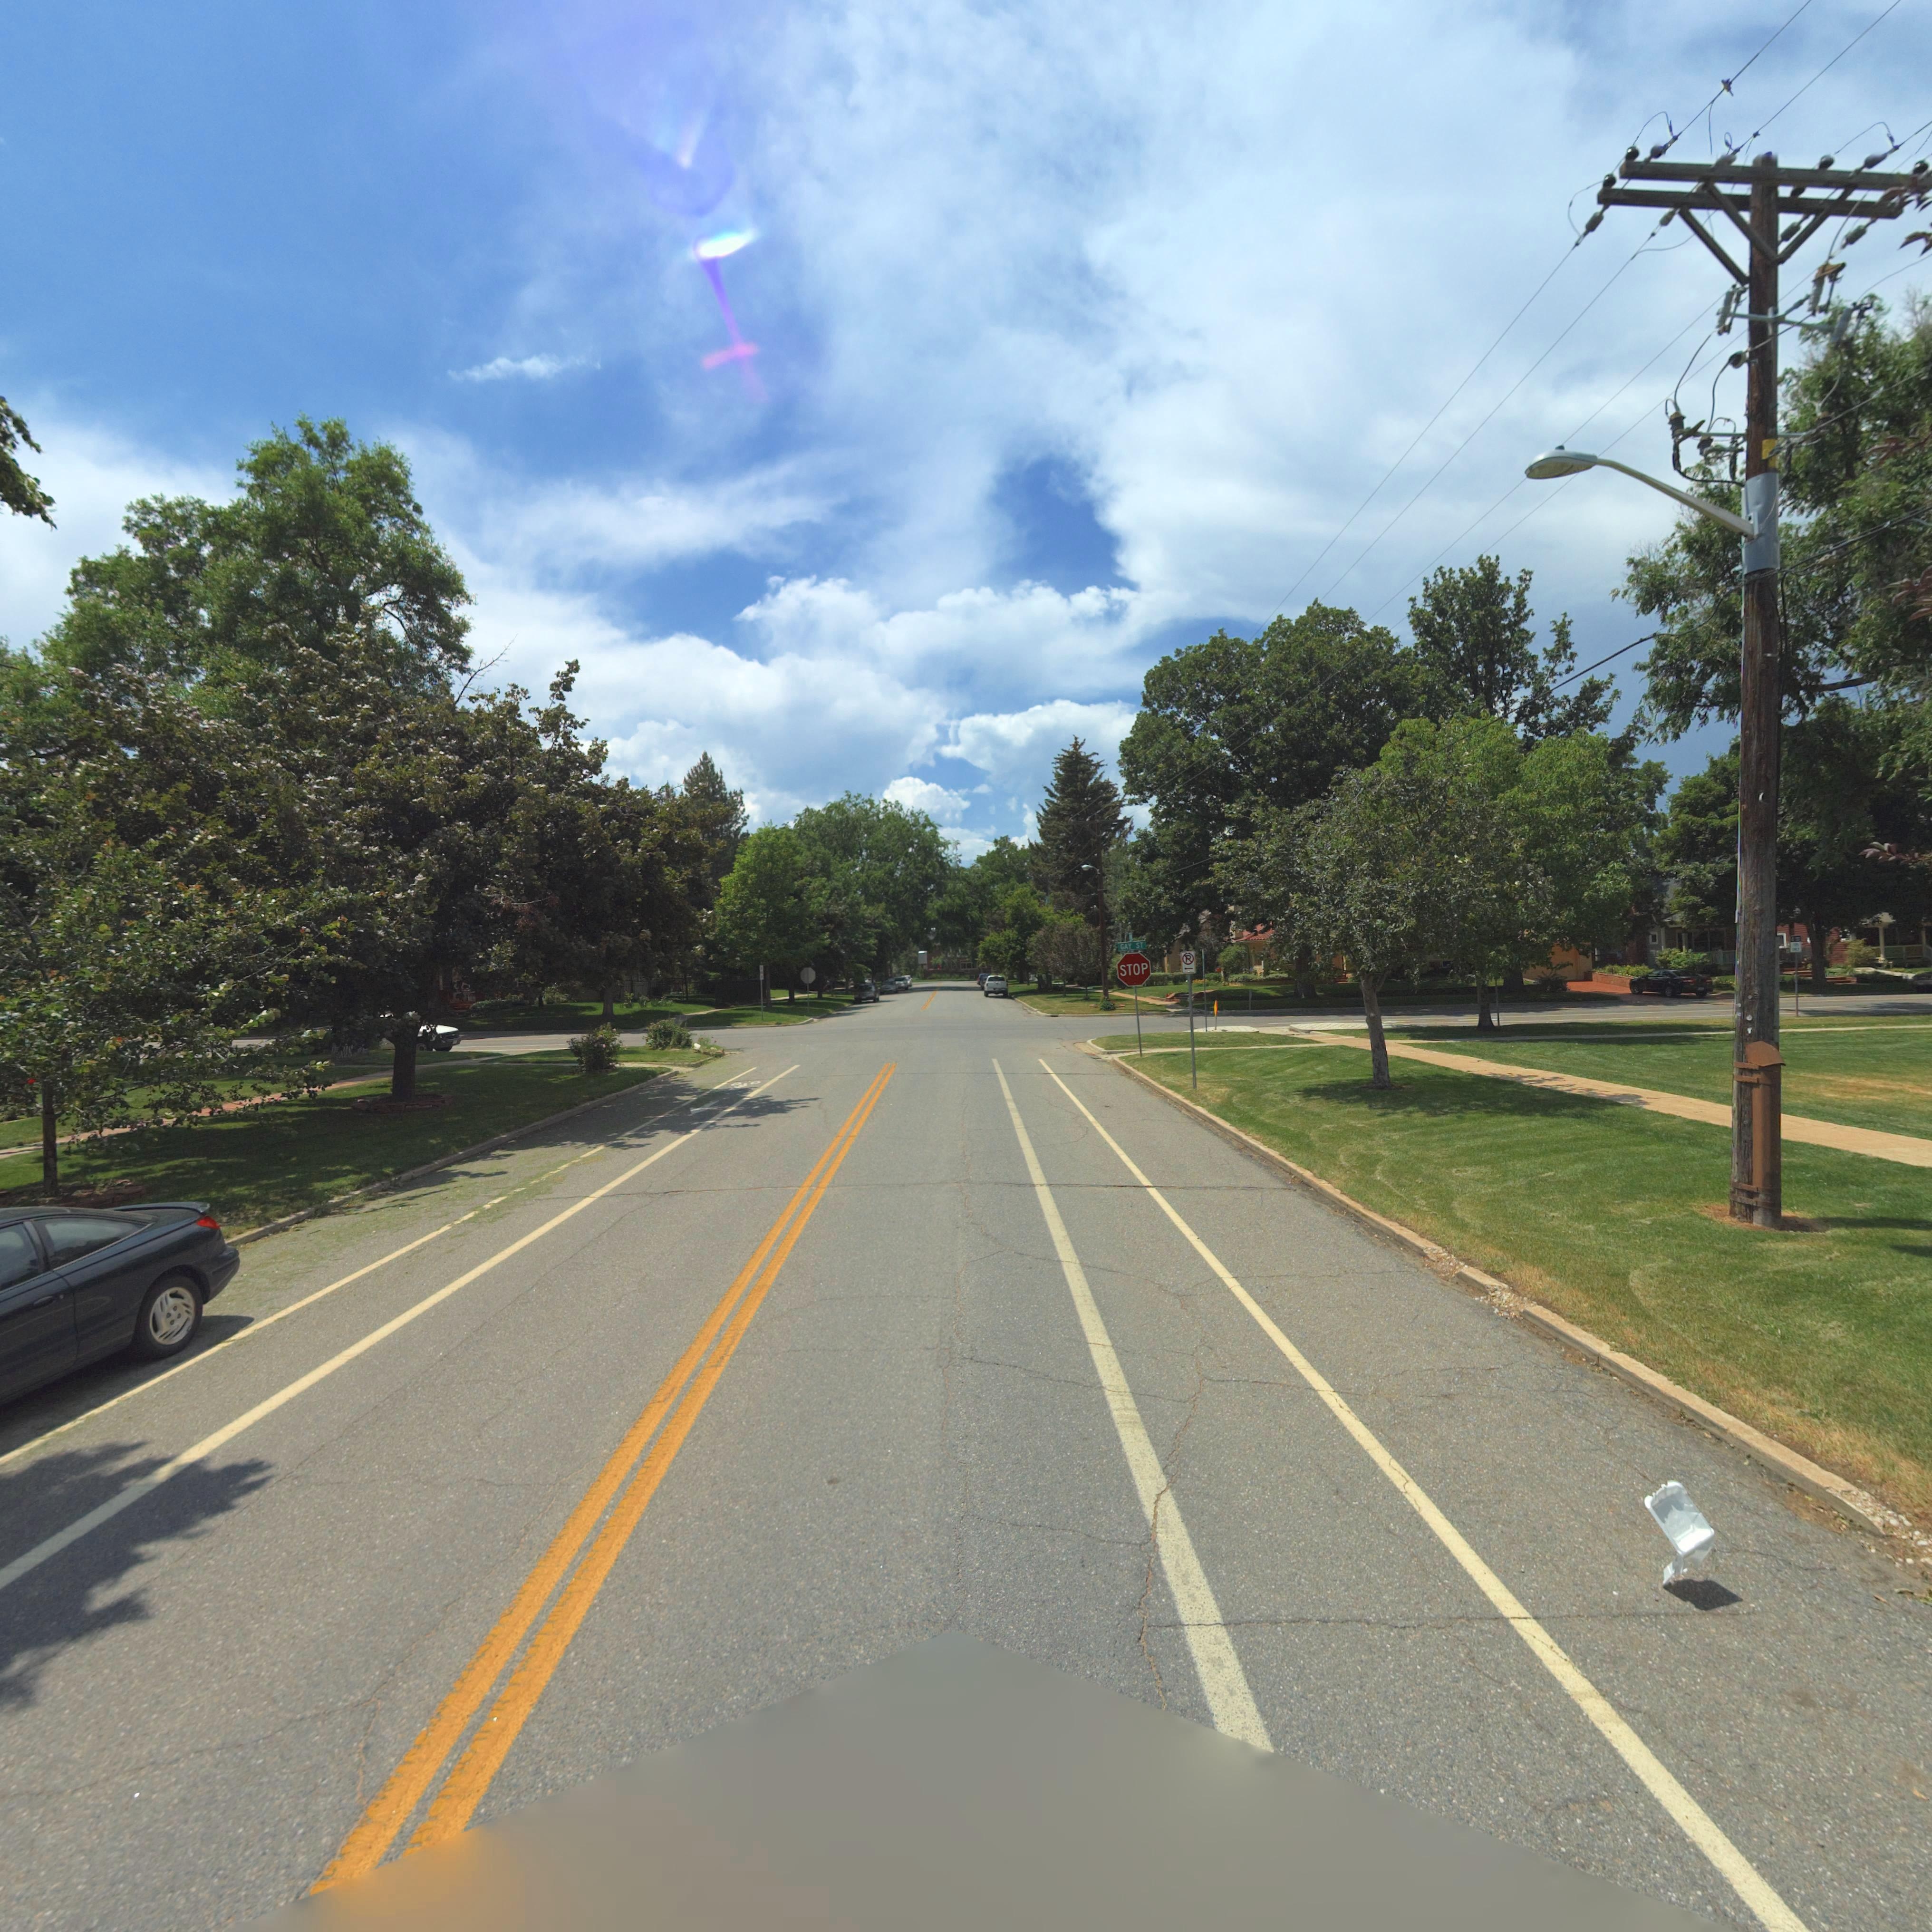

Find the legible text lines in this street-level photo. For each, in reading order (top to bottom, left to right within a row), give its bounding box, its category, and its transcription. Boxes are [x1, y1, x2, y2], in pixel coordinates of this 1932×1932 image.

[1119, 942, 1144, 950] StreetName: GAY ST